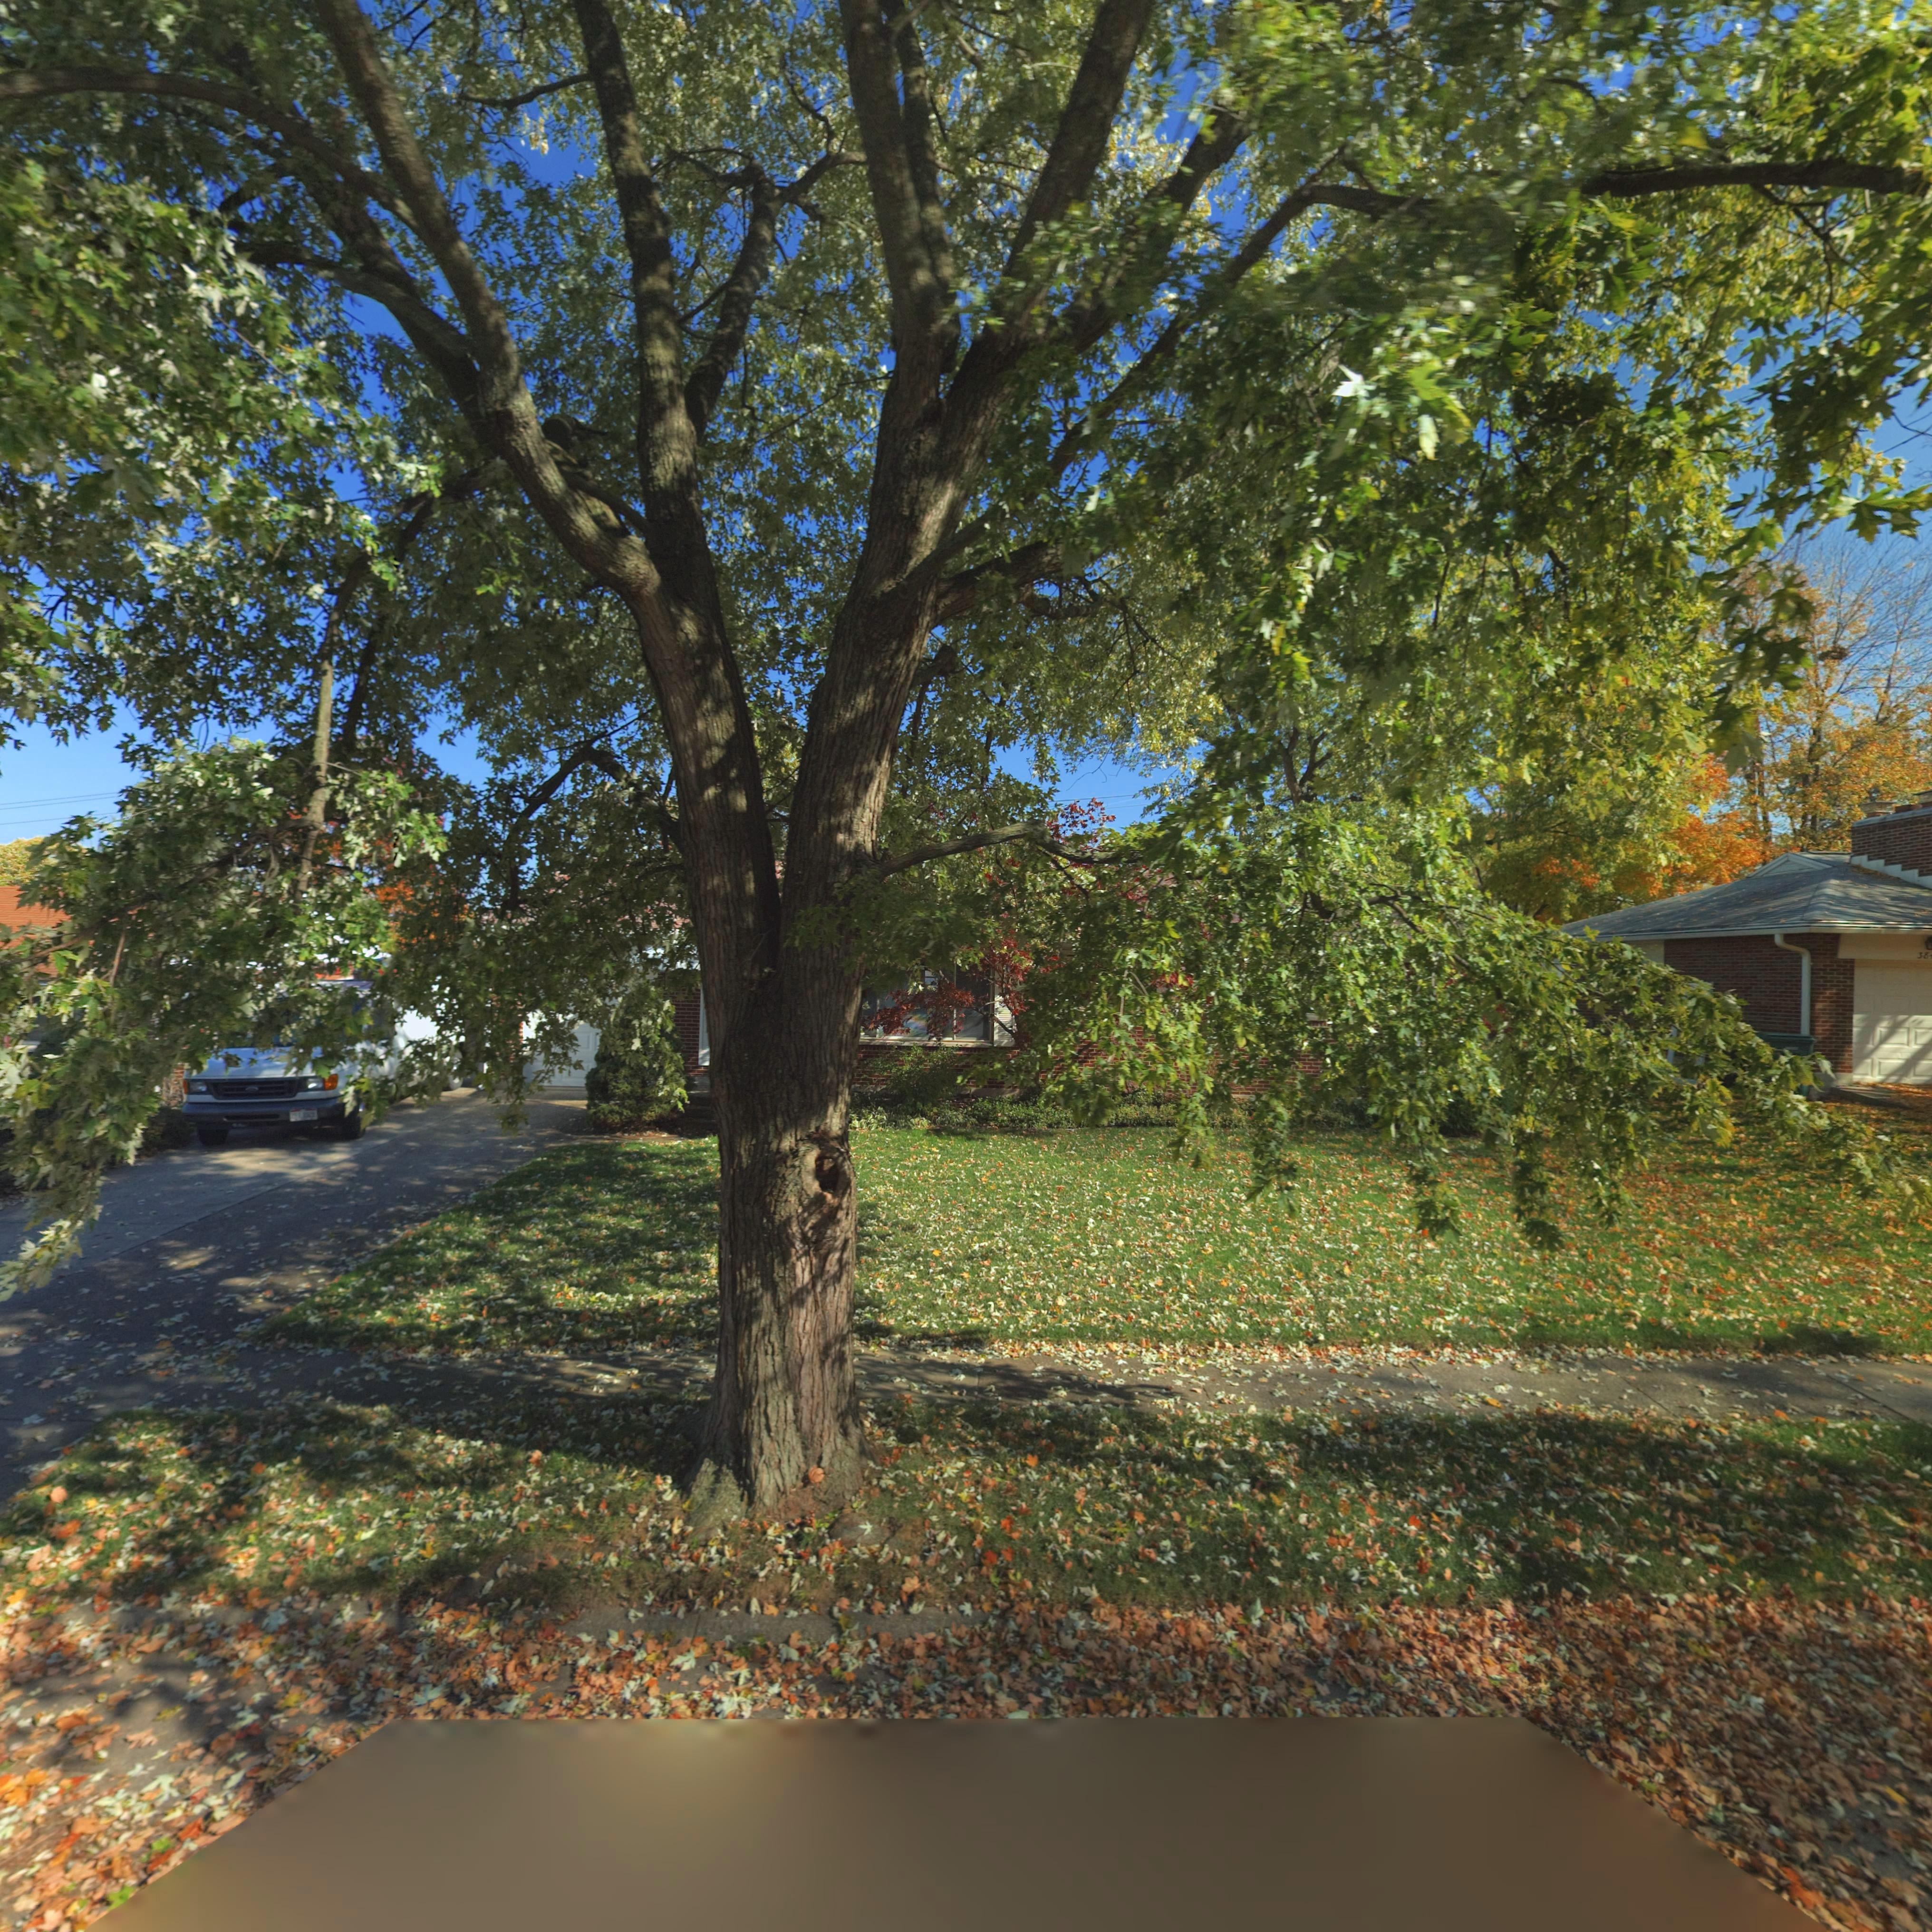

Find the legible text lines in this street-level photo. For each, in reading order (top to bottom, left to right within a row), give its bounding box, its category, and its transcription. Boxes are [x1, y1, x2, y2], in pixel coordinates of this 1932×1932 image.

[1916, 951, 1930, 960] StreetNumber: 38